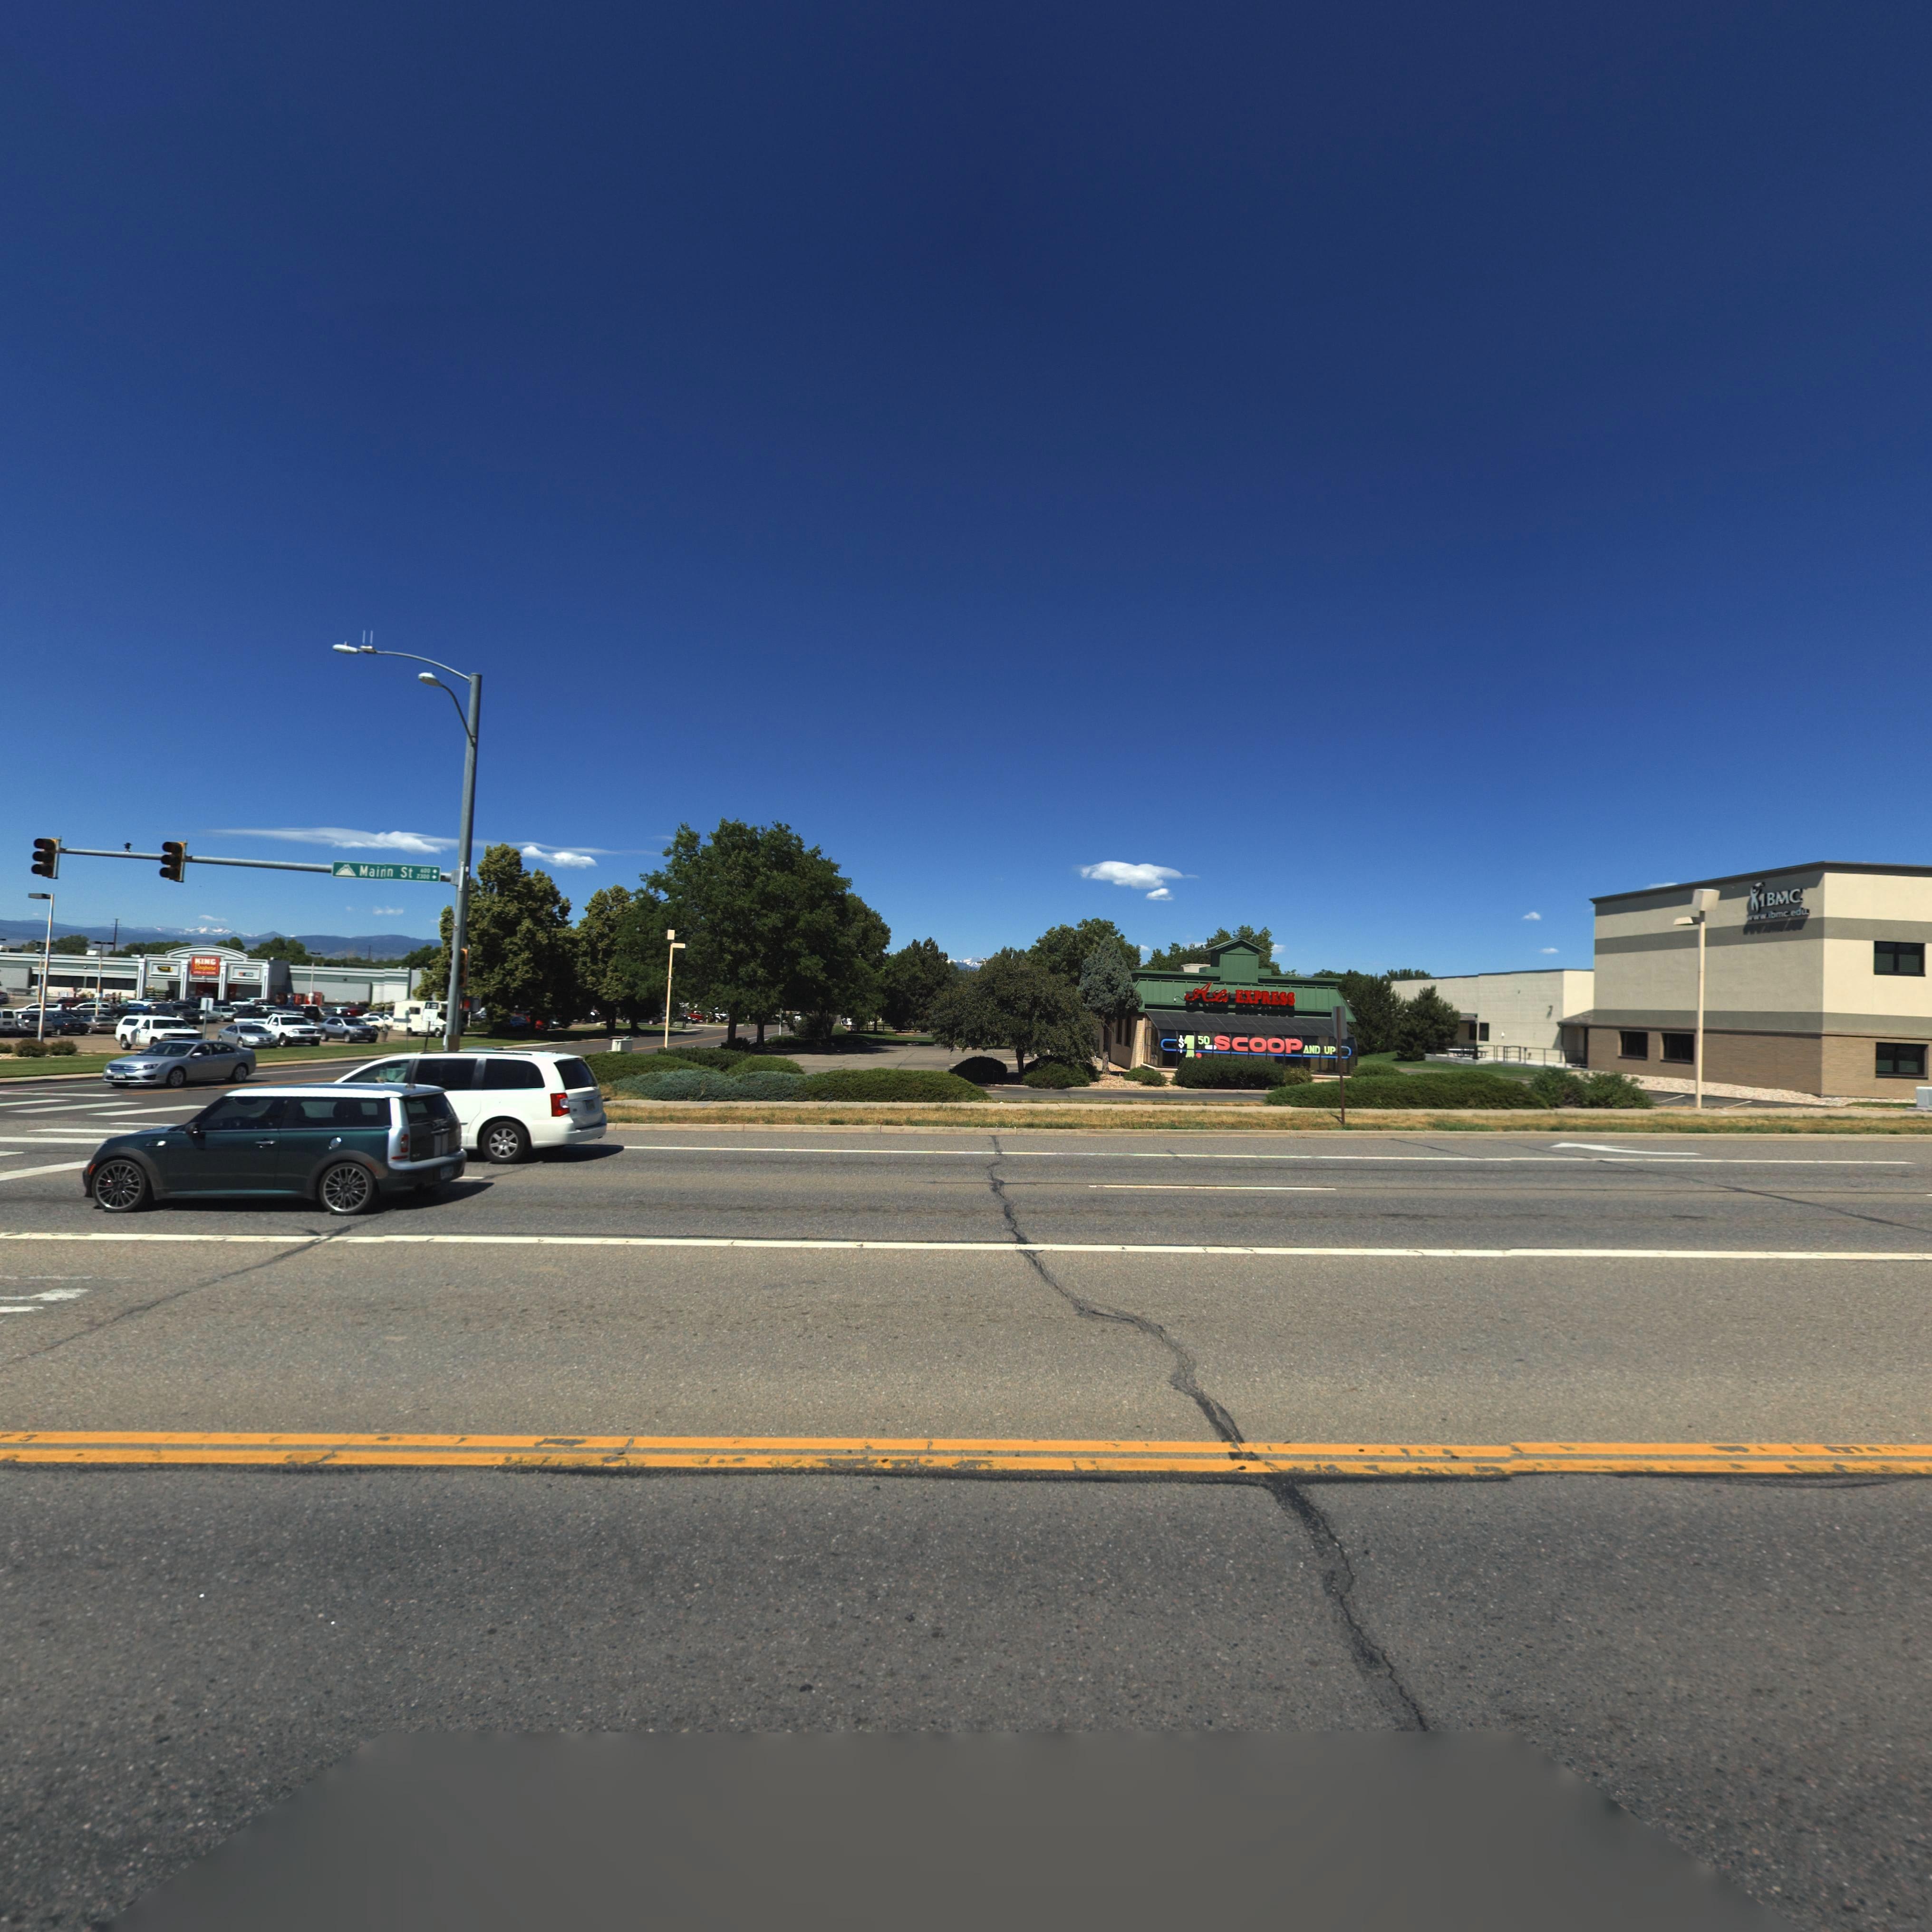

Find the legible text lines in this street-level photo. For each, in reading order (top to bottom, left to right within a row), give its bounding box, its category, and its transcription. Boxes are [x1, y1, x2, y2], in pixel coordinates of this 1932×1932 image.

[358, 864, 414, 879] StreetName: Mai*n St
[419, 867, 431, 873] StreetNumberRange: 600
[415, 873, 437, 879] StreetNumberRange: 2300->
[1760, 887, 1801, 908] BusinessName: IBMC
[194, 957, 216, 965] BusinessName: KING
[194, 963, 216, 971] BusinessName: Soop**s
[1184, 980, 1295, 1006] BusinessName: ALi EXPRESS